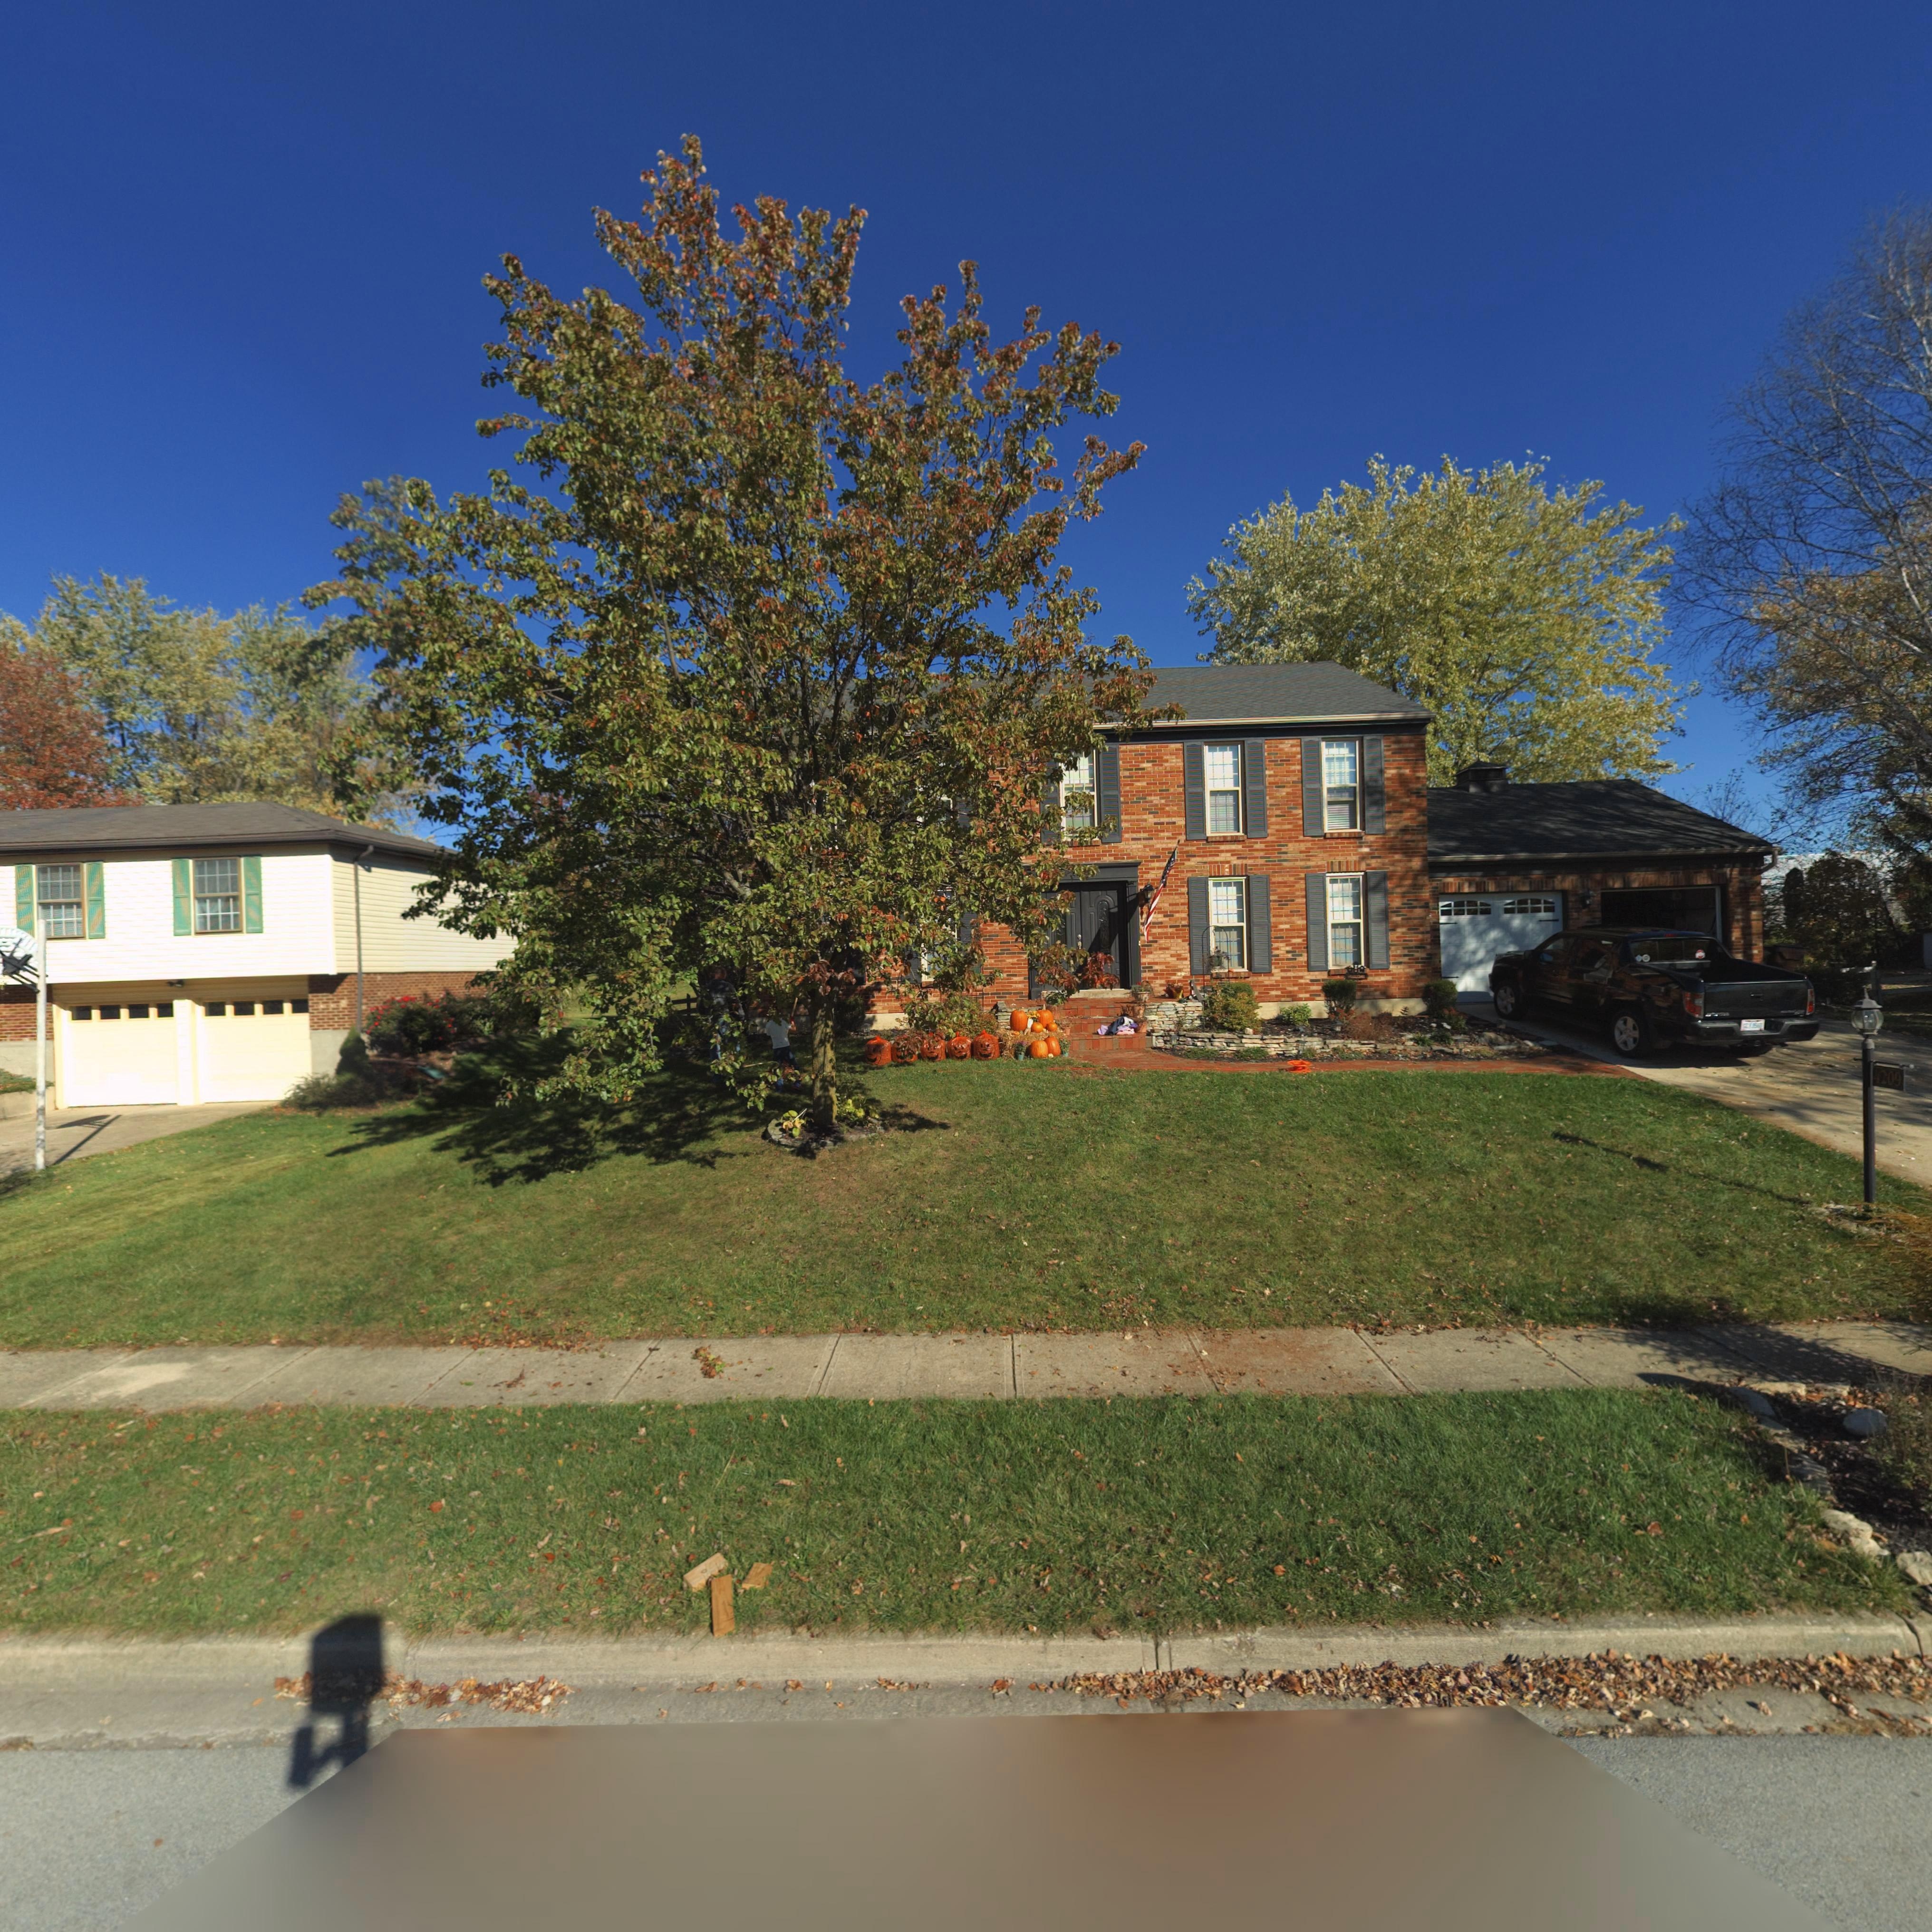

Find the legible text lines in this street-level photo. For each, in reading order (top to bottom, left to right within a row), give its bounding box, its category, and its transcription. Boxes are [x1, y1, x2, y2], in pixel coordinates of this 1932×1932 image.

[1872, 1067, 1903, 1089] StreetNumber: 4209